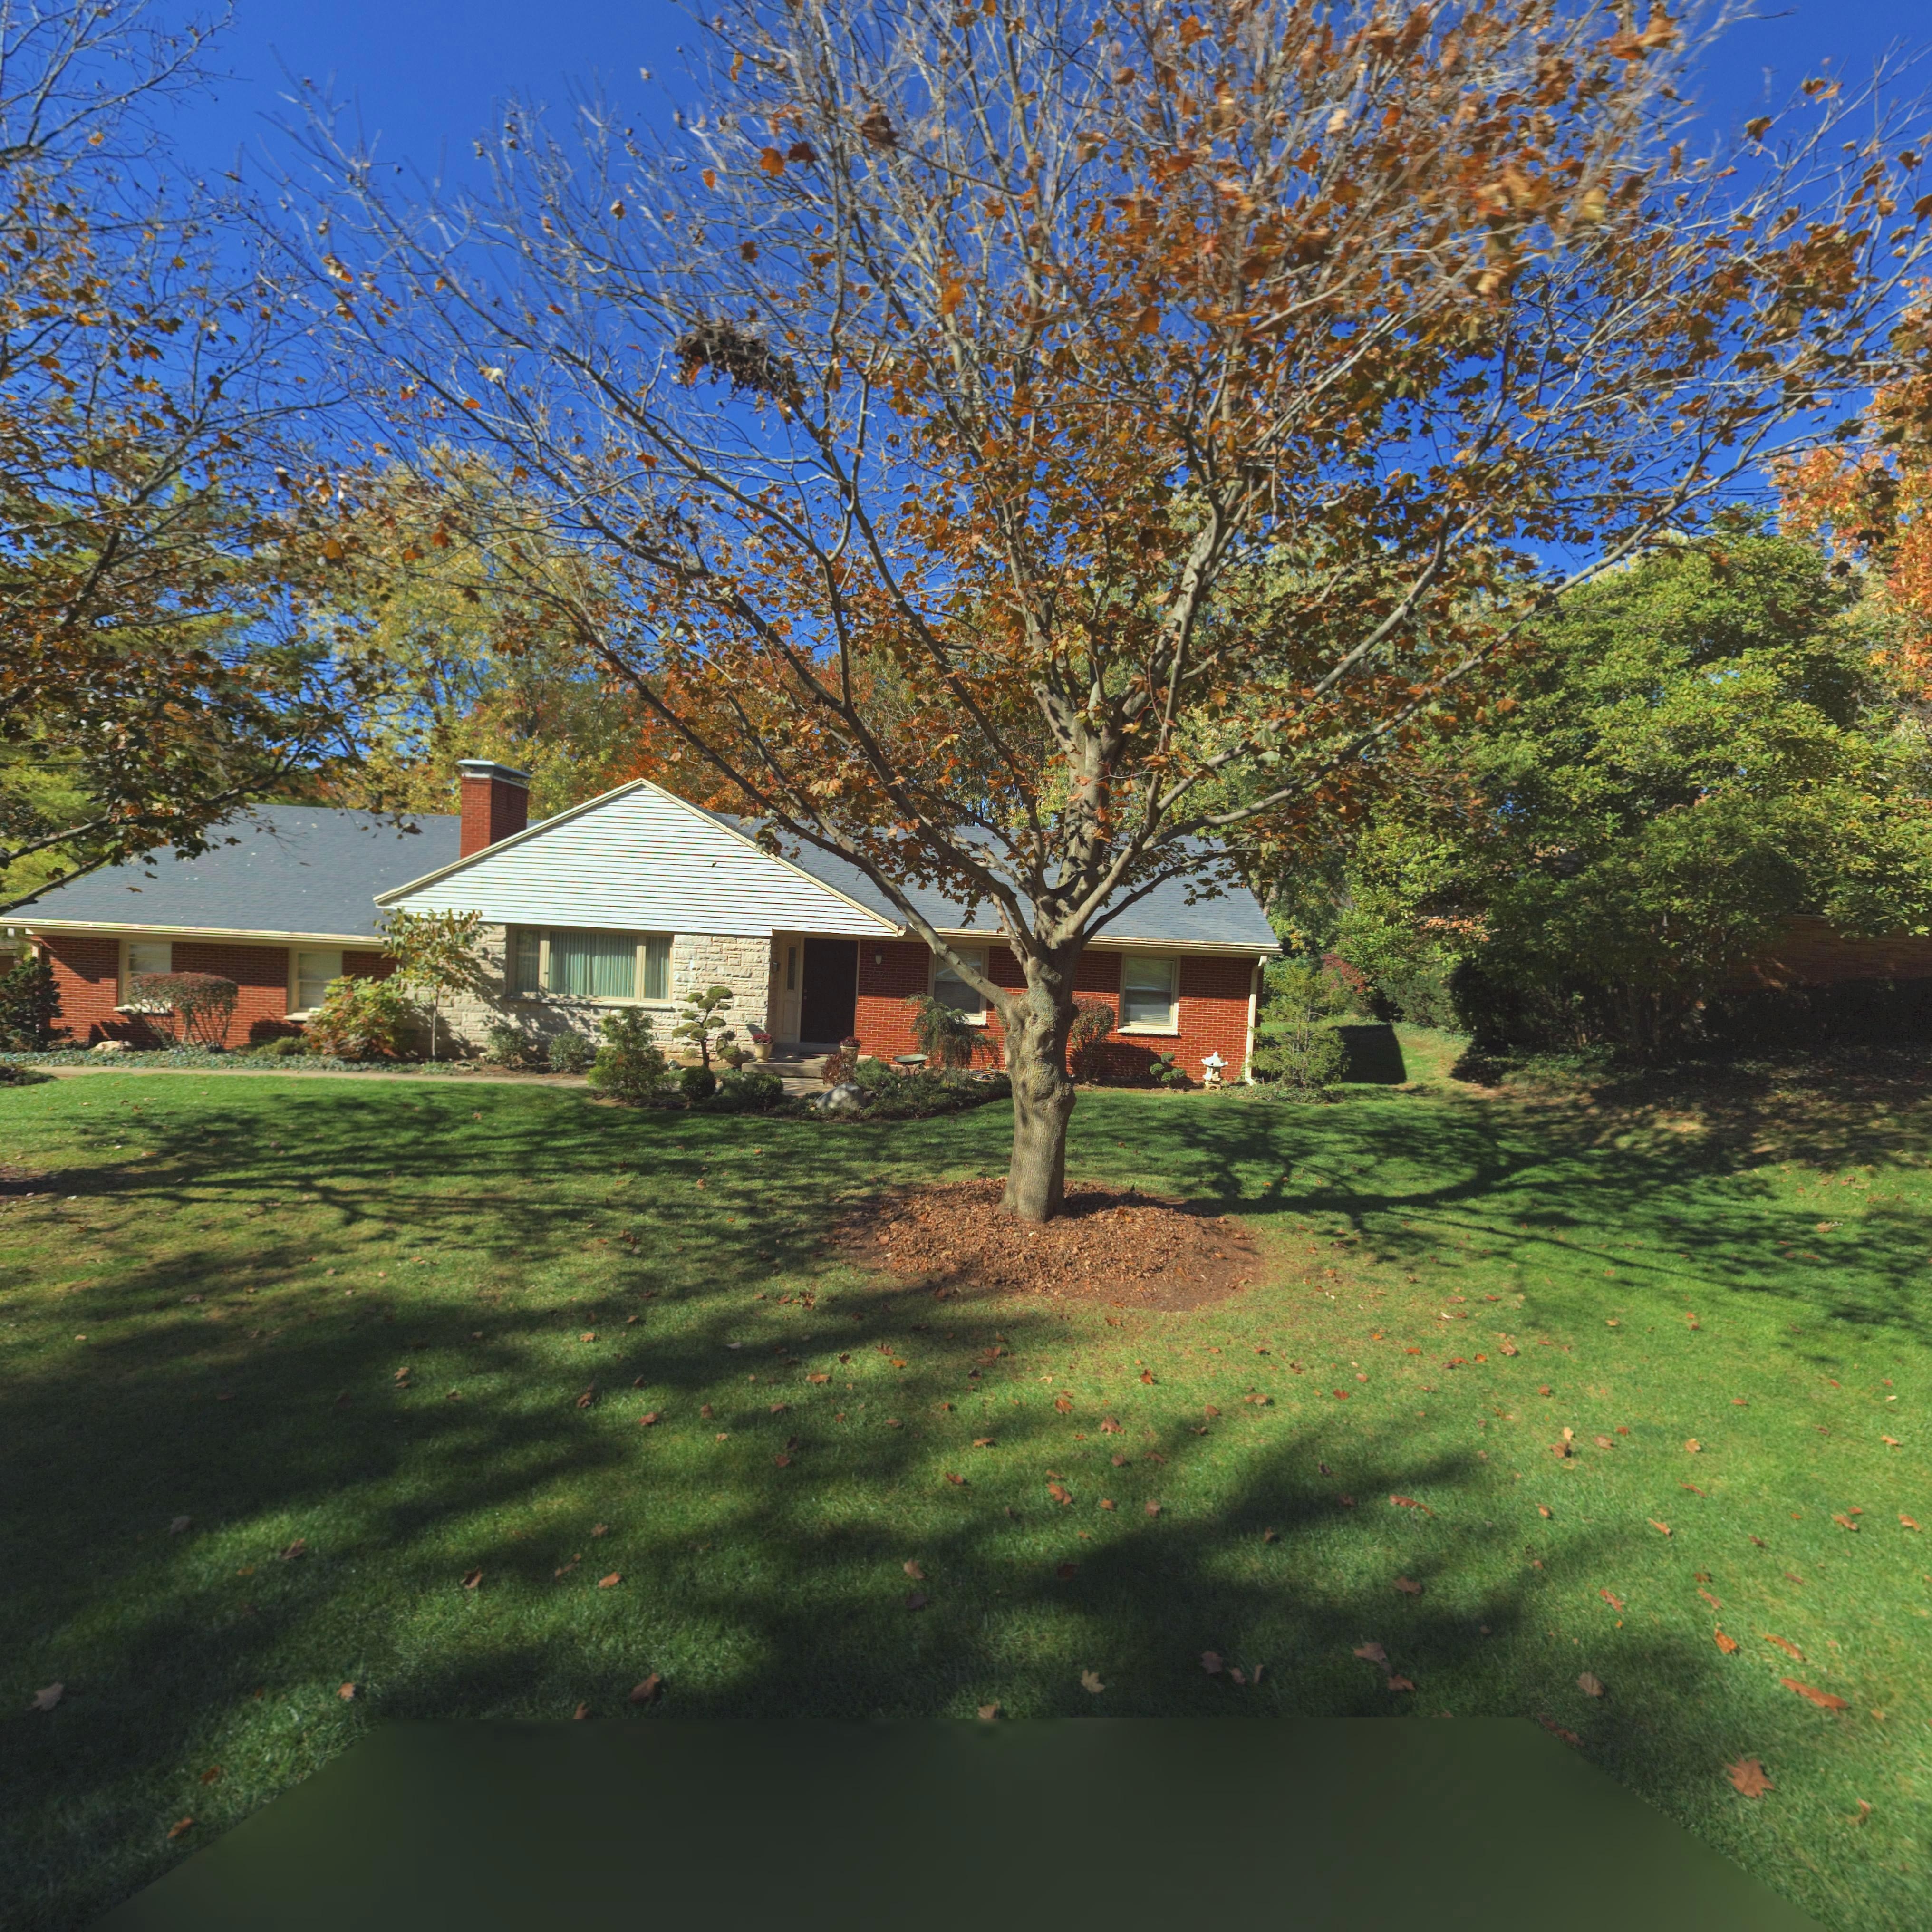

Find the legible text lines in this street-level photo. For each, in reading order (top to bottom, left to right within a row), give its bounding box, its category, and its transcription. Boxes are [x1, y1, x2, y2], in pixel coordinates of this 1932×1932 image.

[869, 970, 890, 980] StreetNumber: 4261